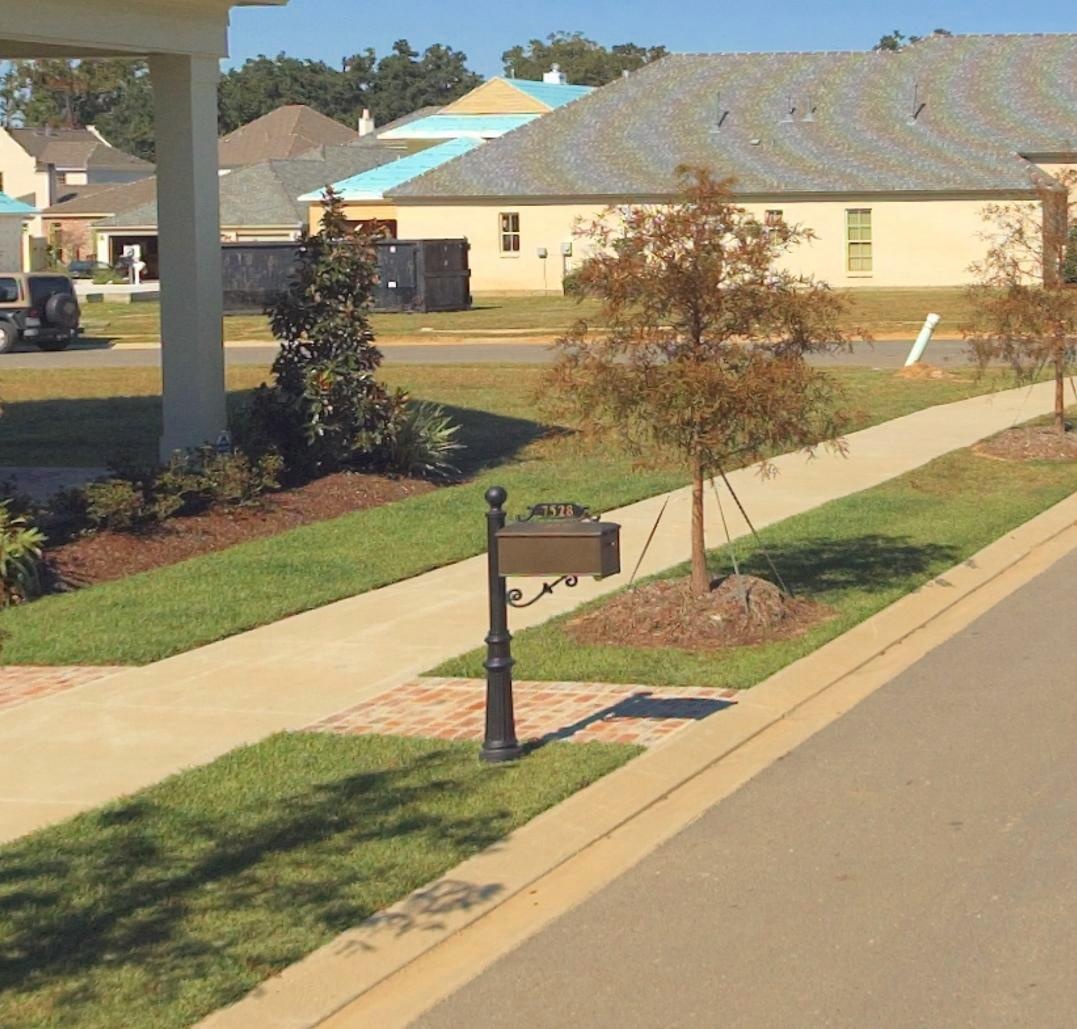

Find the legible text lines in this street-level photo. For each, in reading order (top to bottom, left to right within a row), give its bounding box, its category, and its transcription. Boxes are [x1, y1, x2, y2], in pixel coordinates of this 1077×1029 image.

[540, 504, 574, 517] StreetNumber: 7528